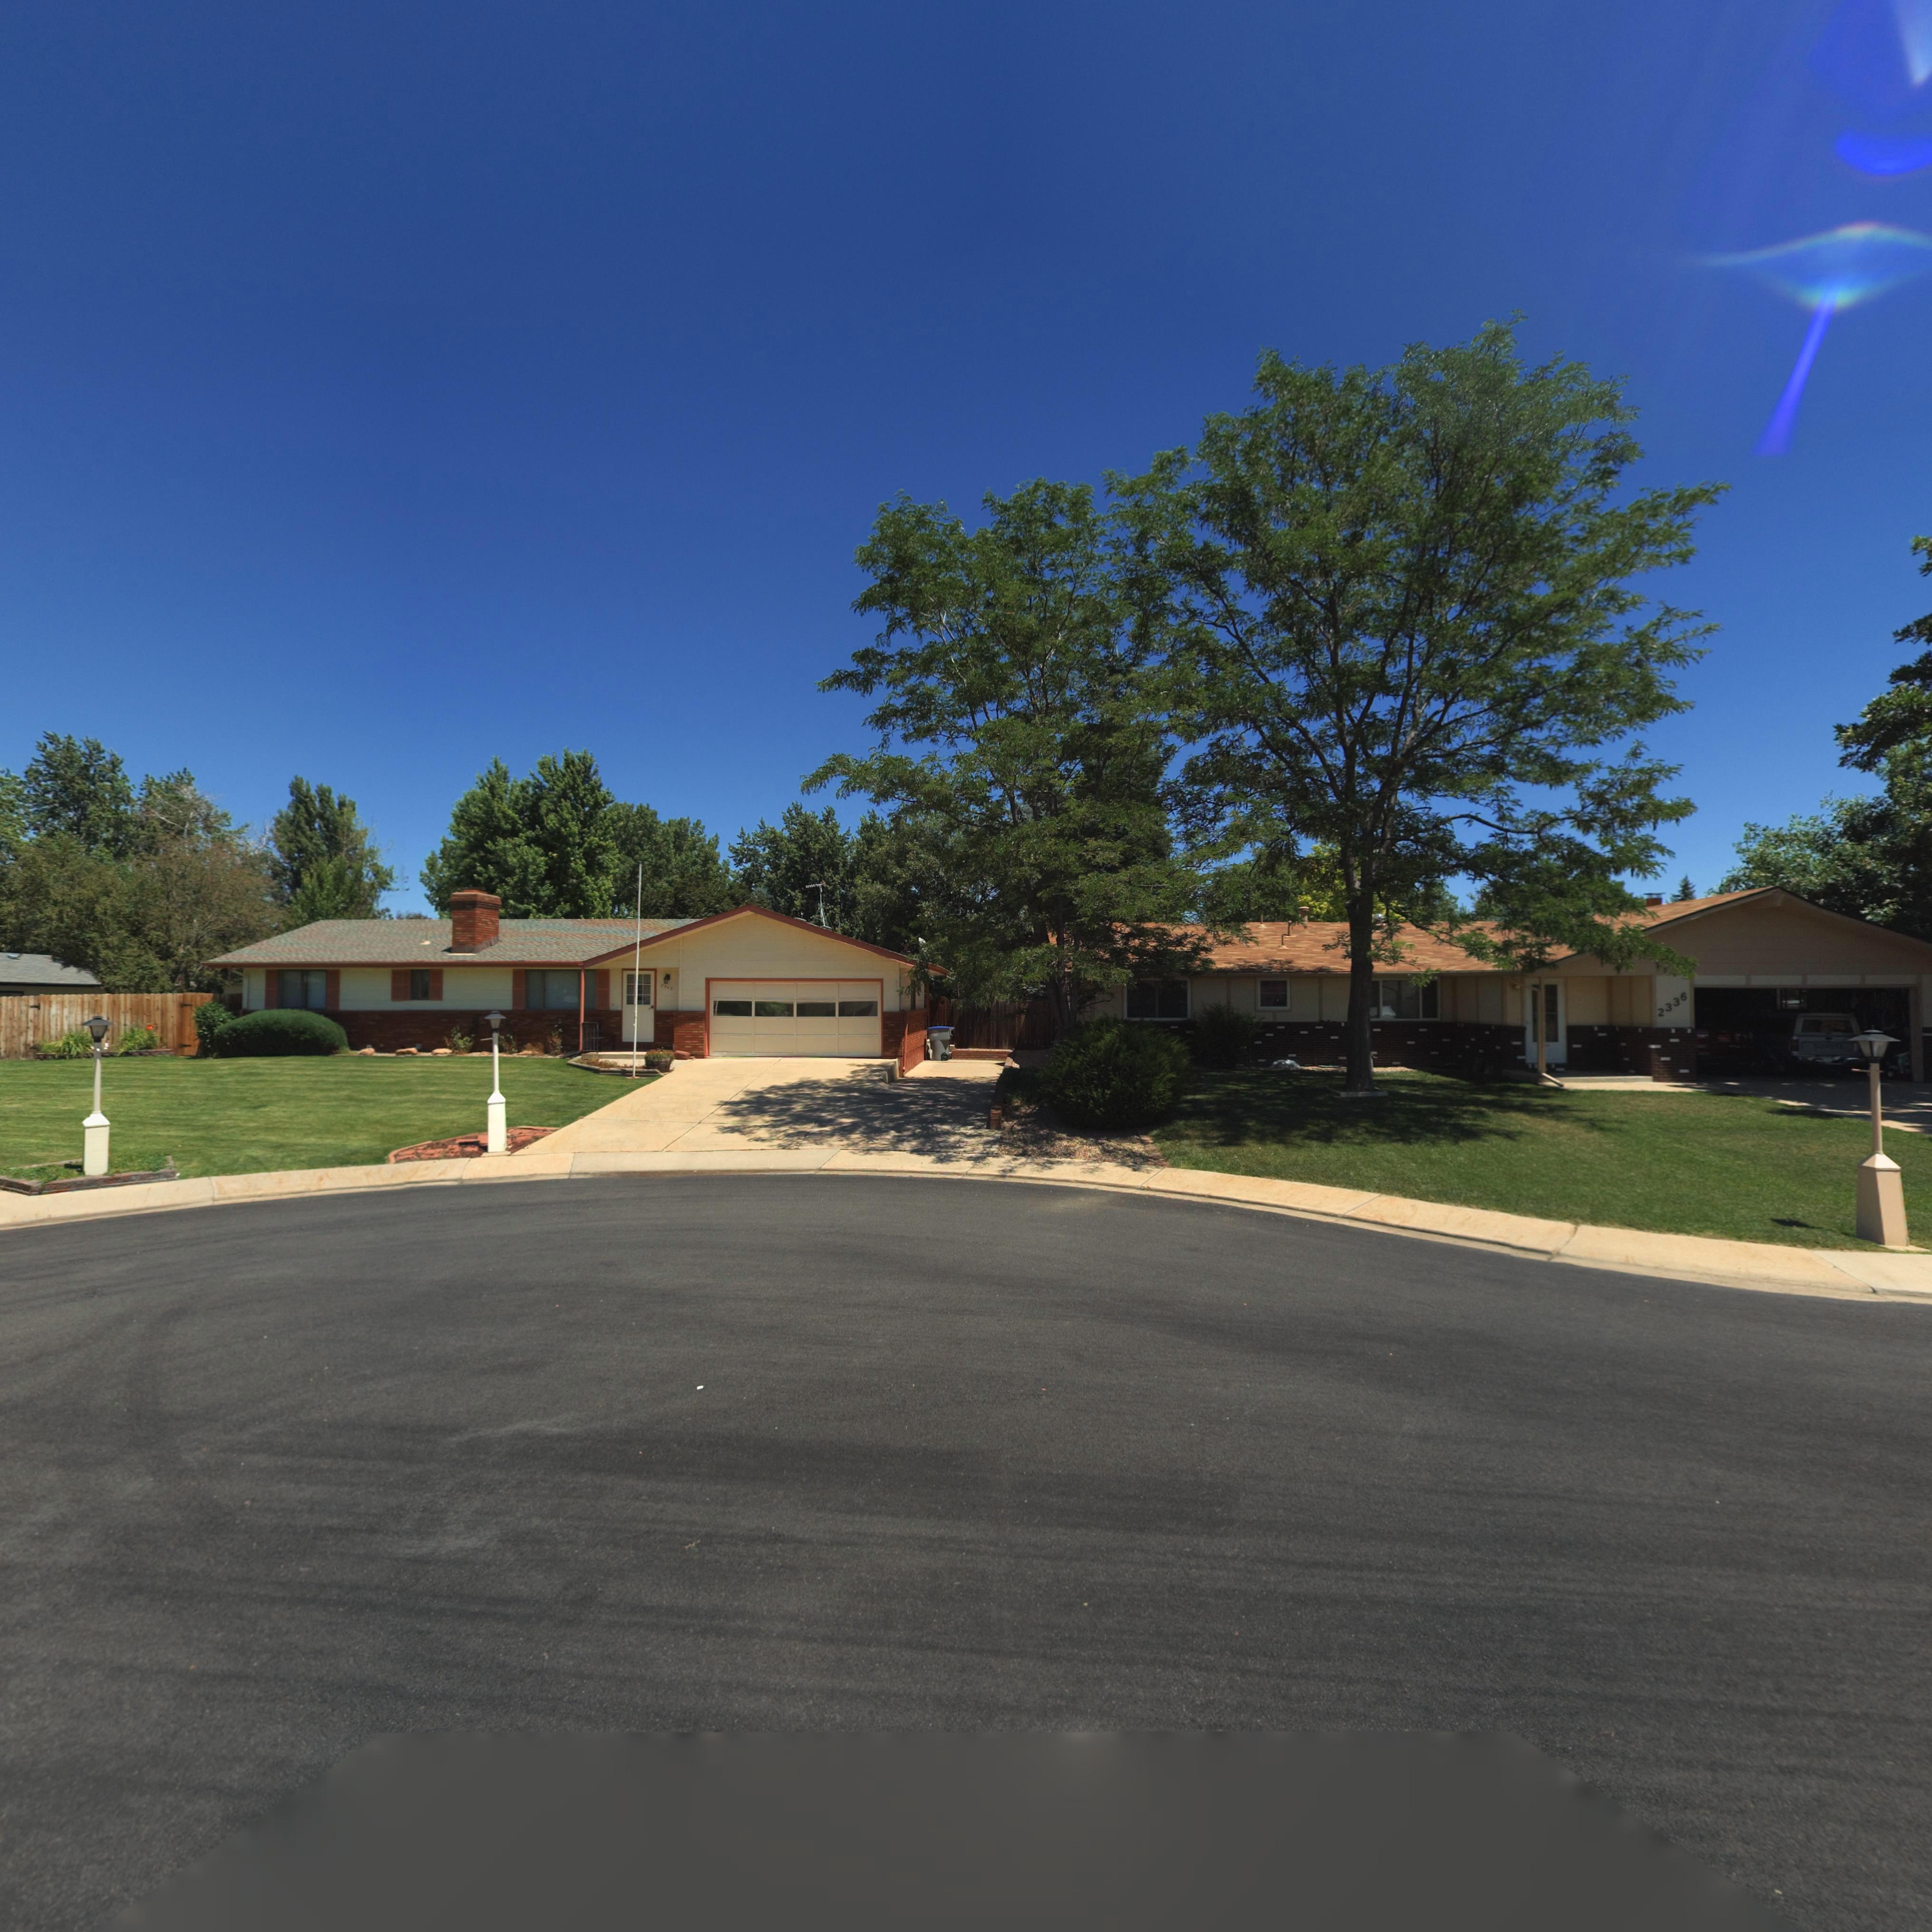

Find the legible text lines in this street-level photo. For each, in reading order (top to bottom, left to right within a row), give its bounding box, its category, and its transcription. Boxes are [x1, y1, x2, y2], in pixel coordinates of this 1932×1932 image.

[660, 983, 673, 990] StreetNumber: 2342
[1657, 992, 1688, 1017] StreetNumber: 2336